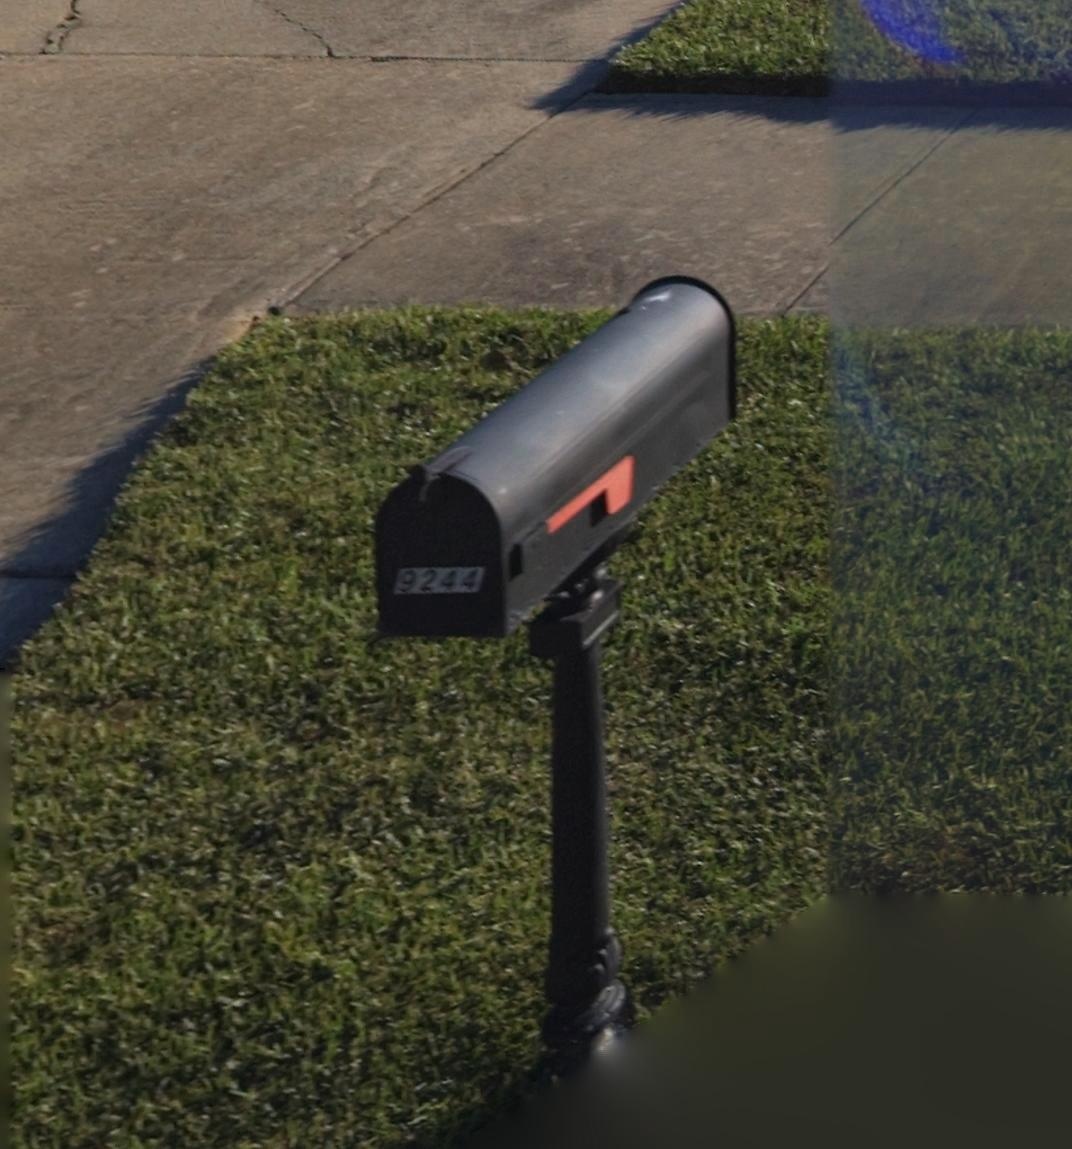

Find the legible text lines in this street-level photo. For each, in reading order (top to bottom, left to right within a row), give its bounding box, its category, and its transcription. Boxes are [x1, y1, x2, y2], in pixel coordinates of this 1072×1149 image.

[393, 568, 485, 592] StreetNumber: 9244